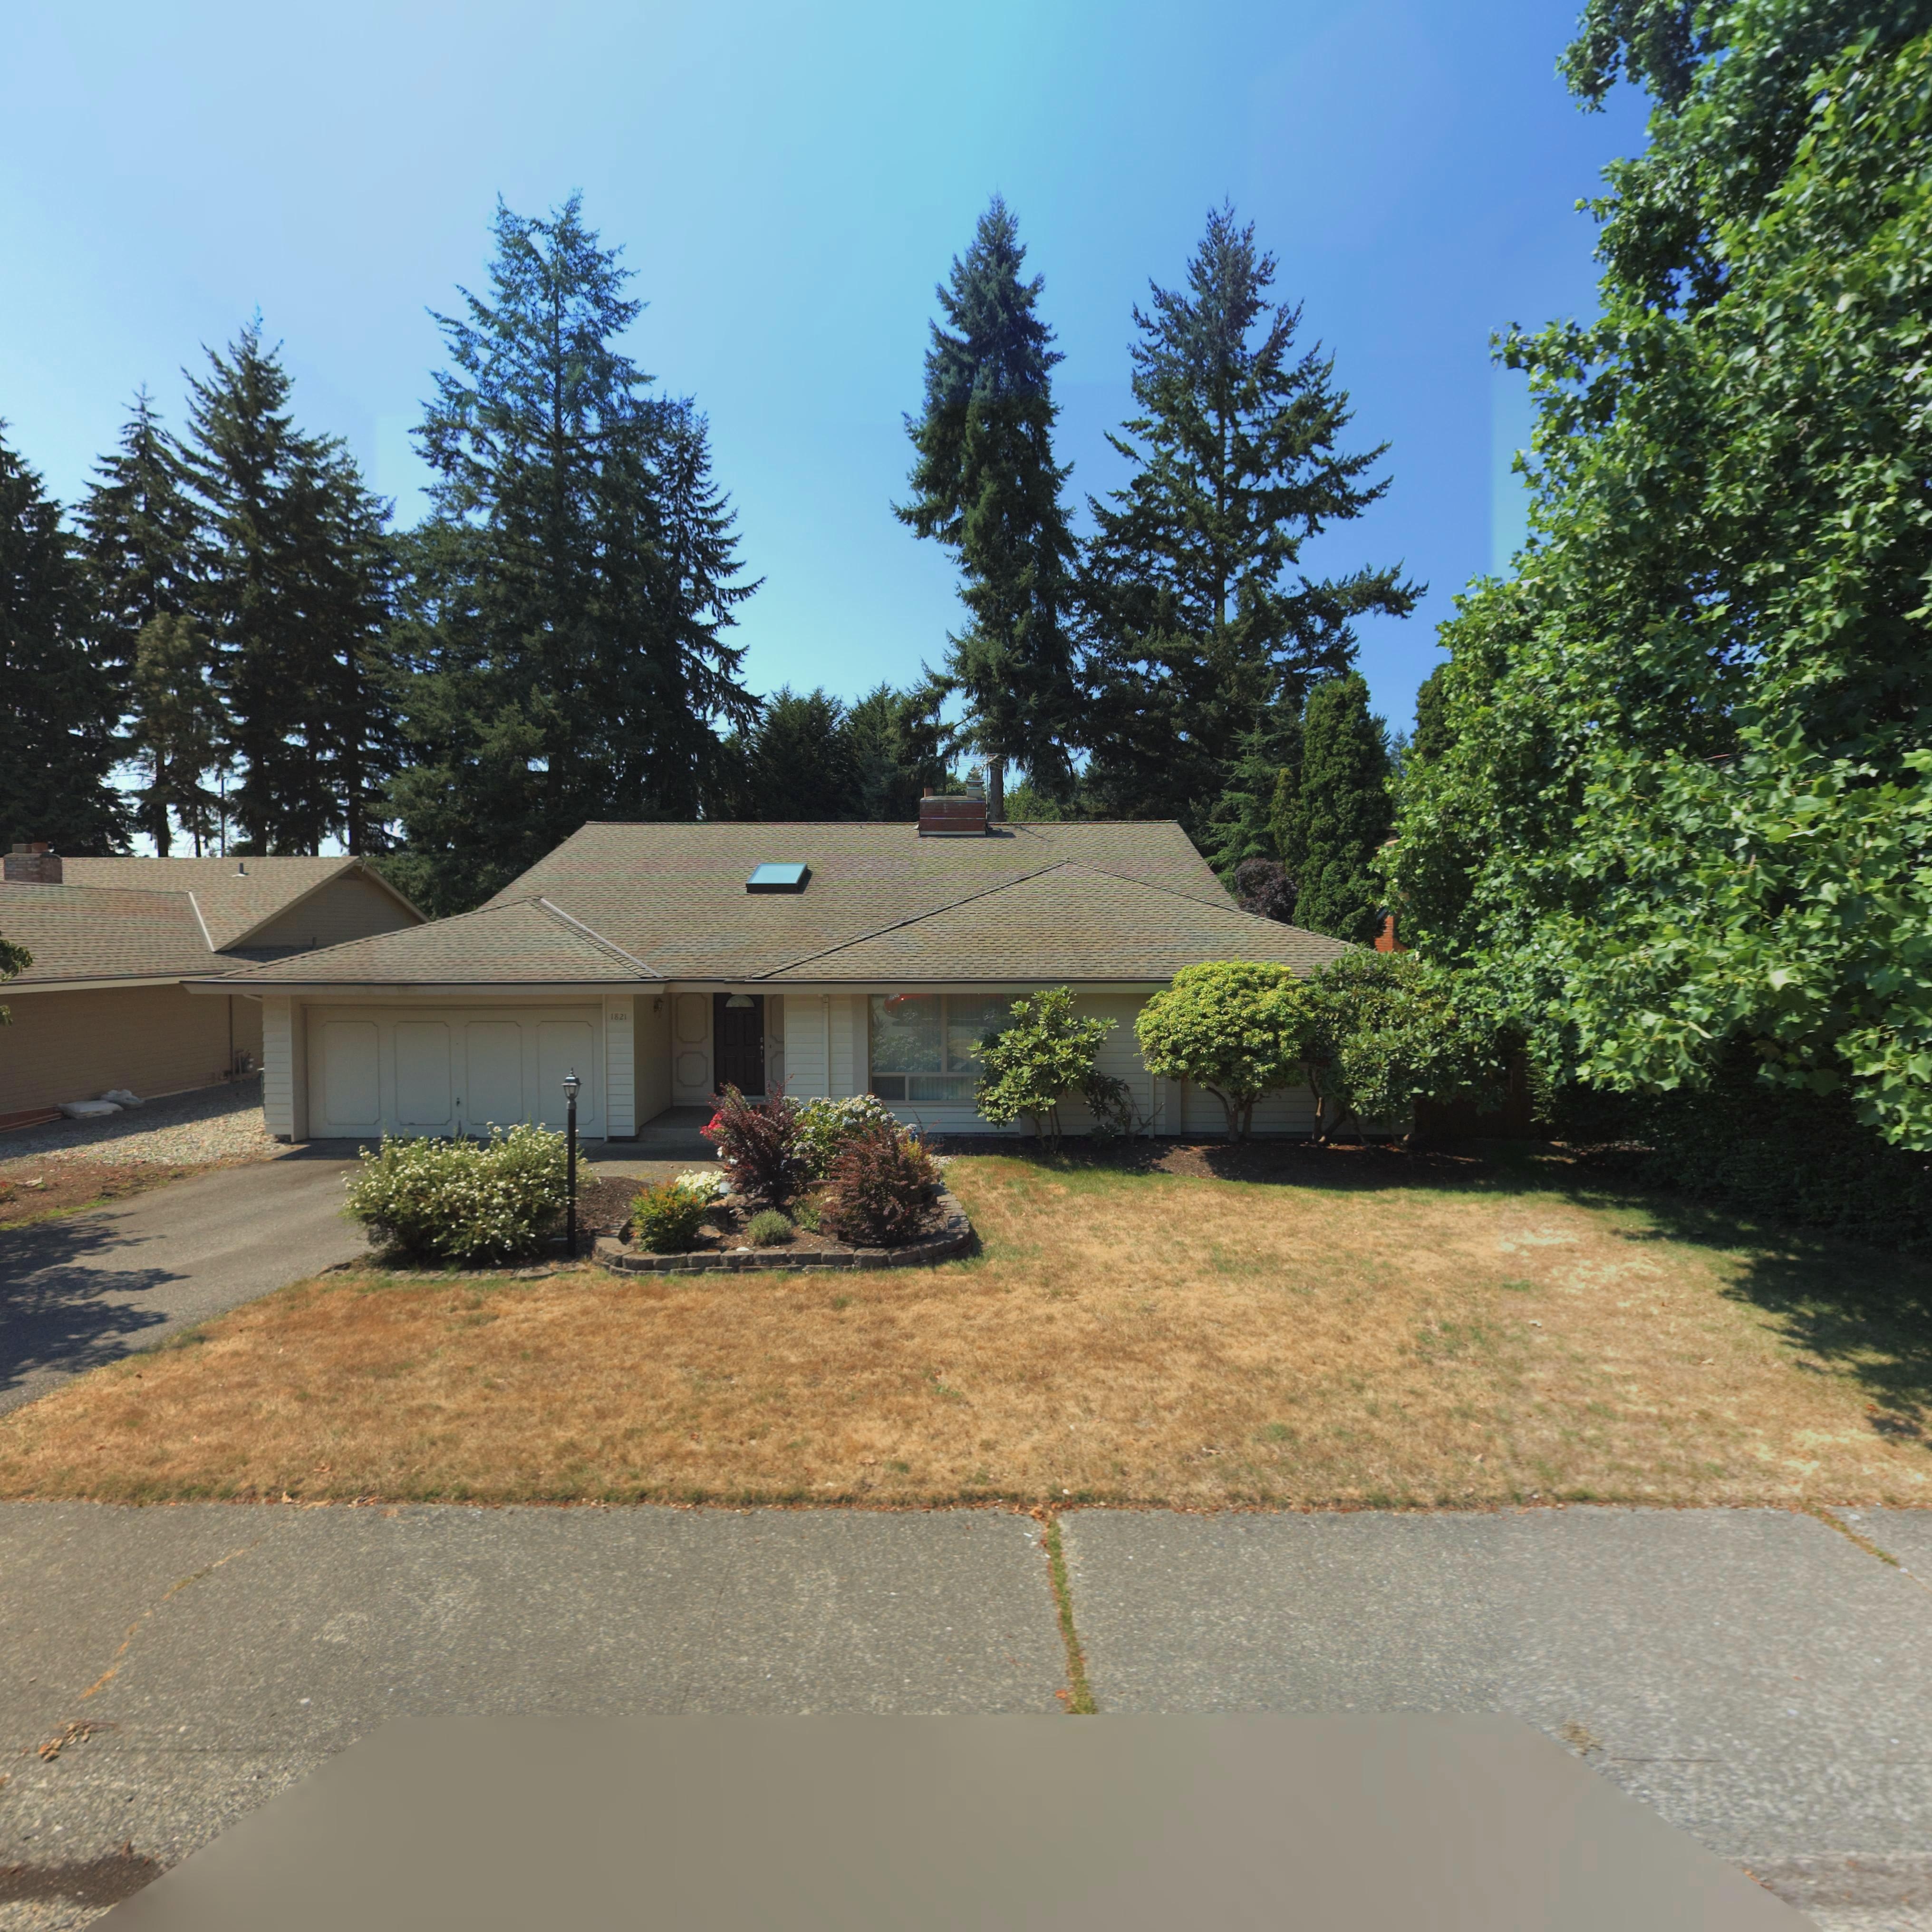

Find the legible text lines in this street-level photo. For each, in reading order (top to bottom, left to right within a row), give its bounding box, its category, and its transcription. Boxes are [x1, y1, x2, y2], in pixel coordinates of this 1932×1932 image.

[609, 1012, 628, 1023] StreetNumber: 1821